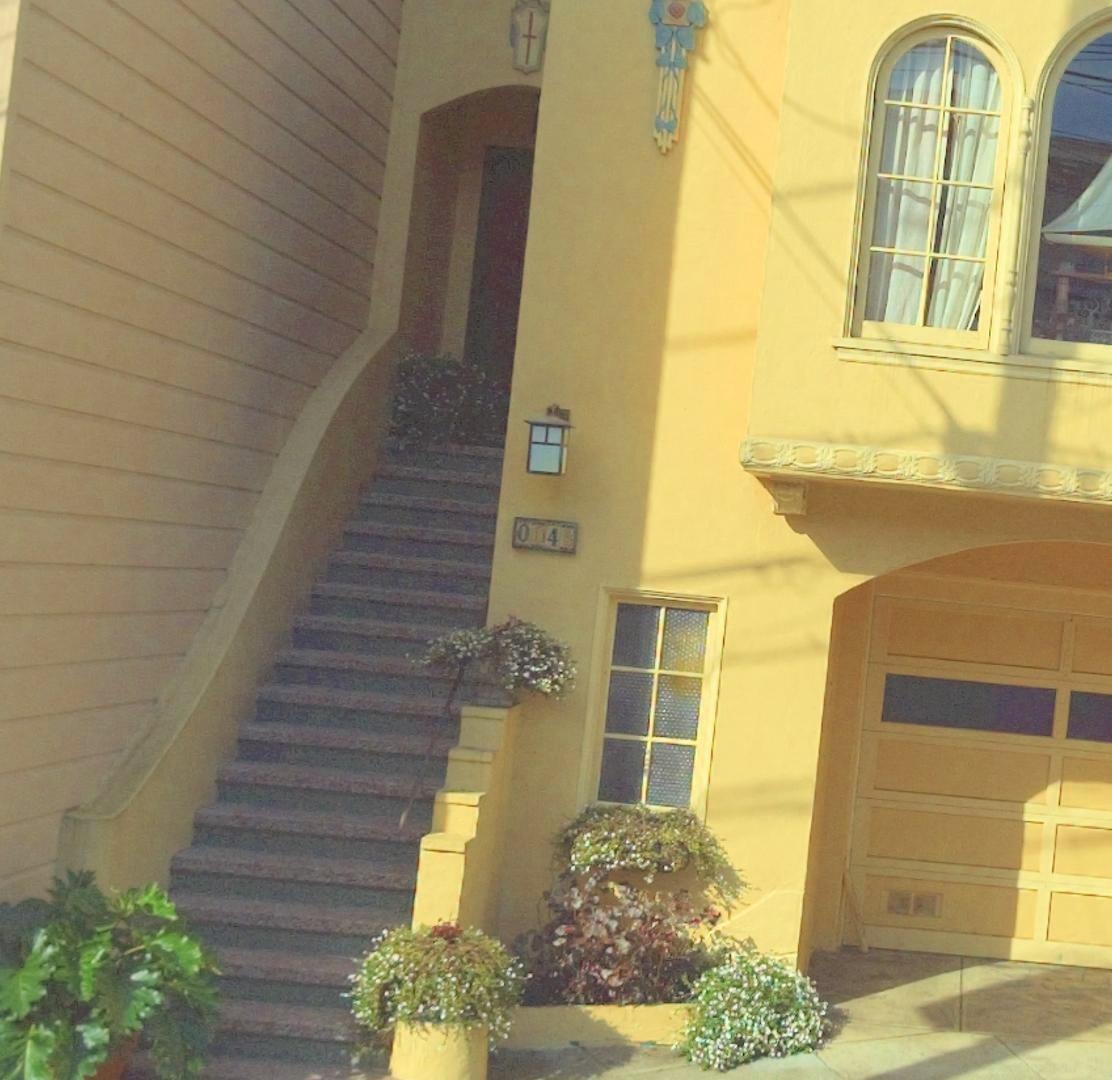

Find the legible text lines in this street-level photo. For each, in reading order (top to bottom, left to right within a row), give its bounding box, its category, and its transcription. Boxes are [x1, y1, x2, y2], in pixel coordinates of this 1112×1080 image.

[515, 522, 562, 548] StreetNumber: 0 4